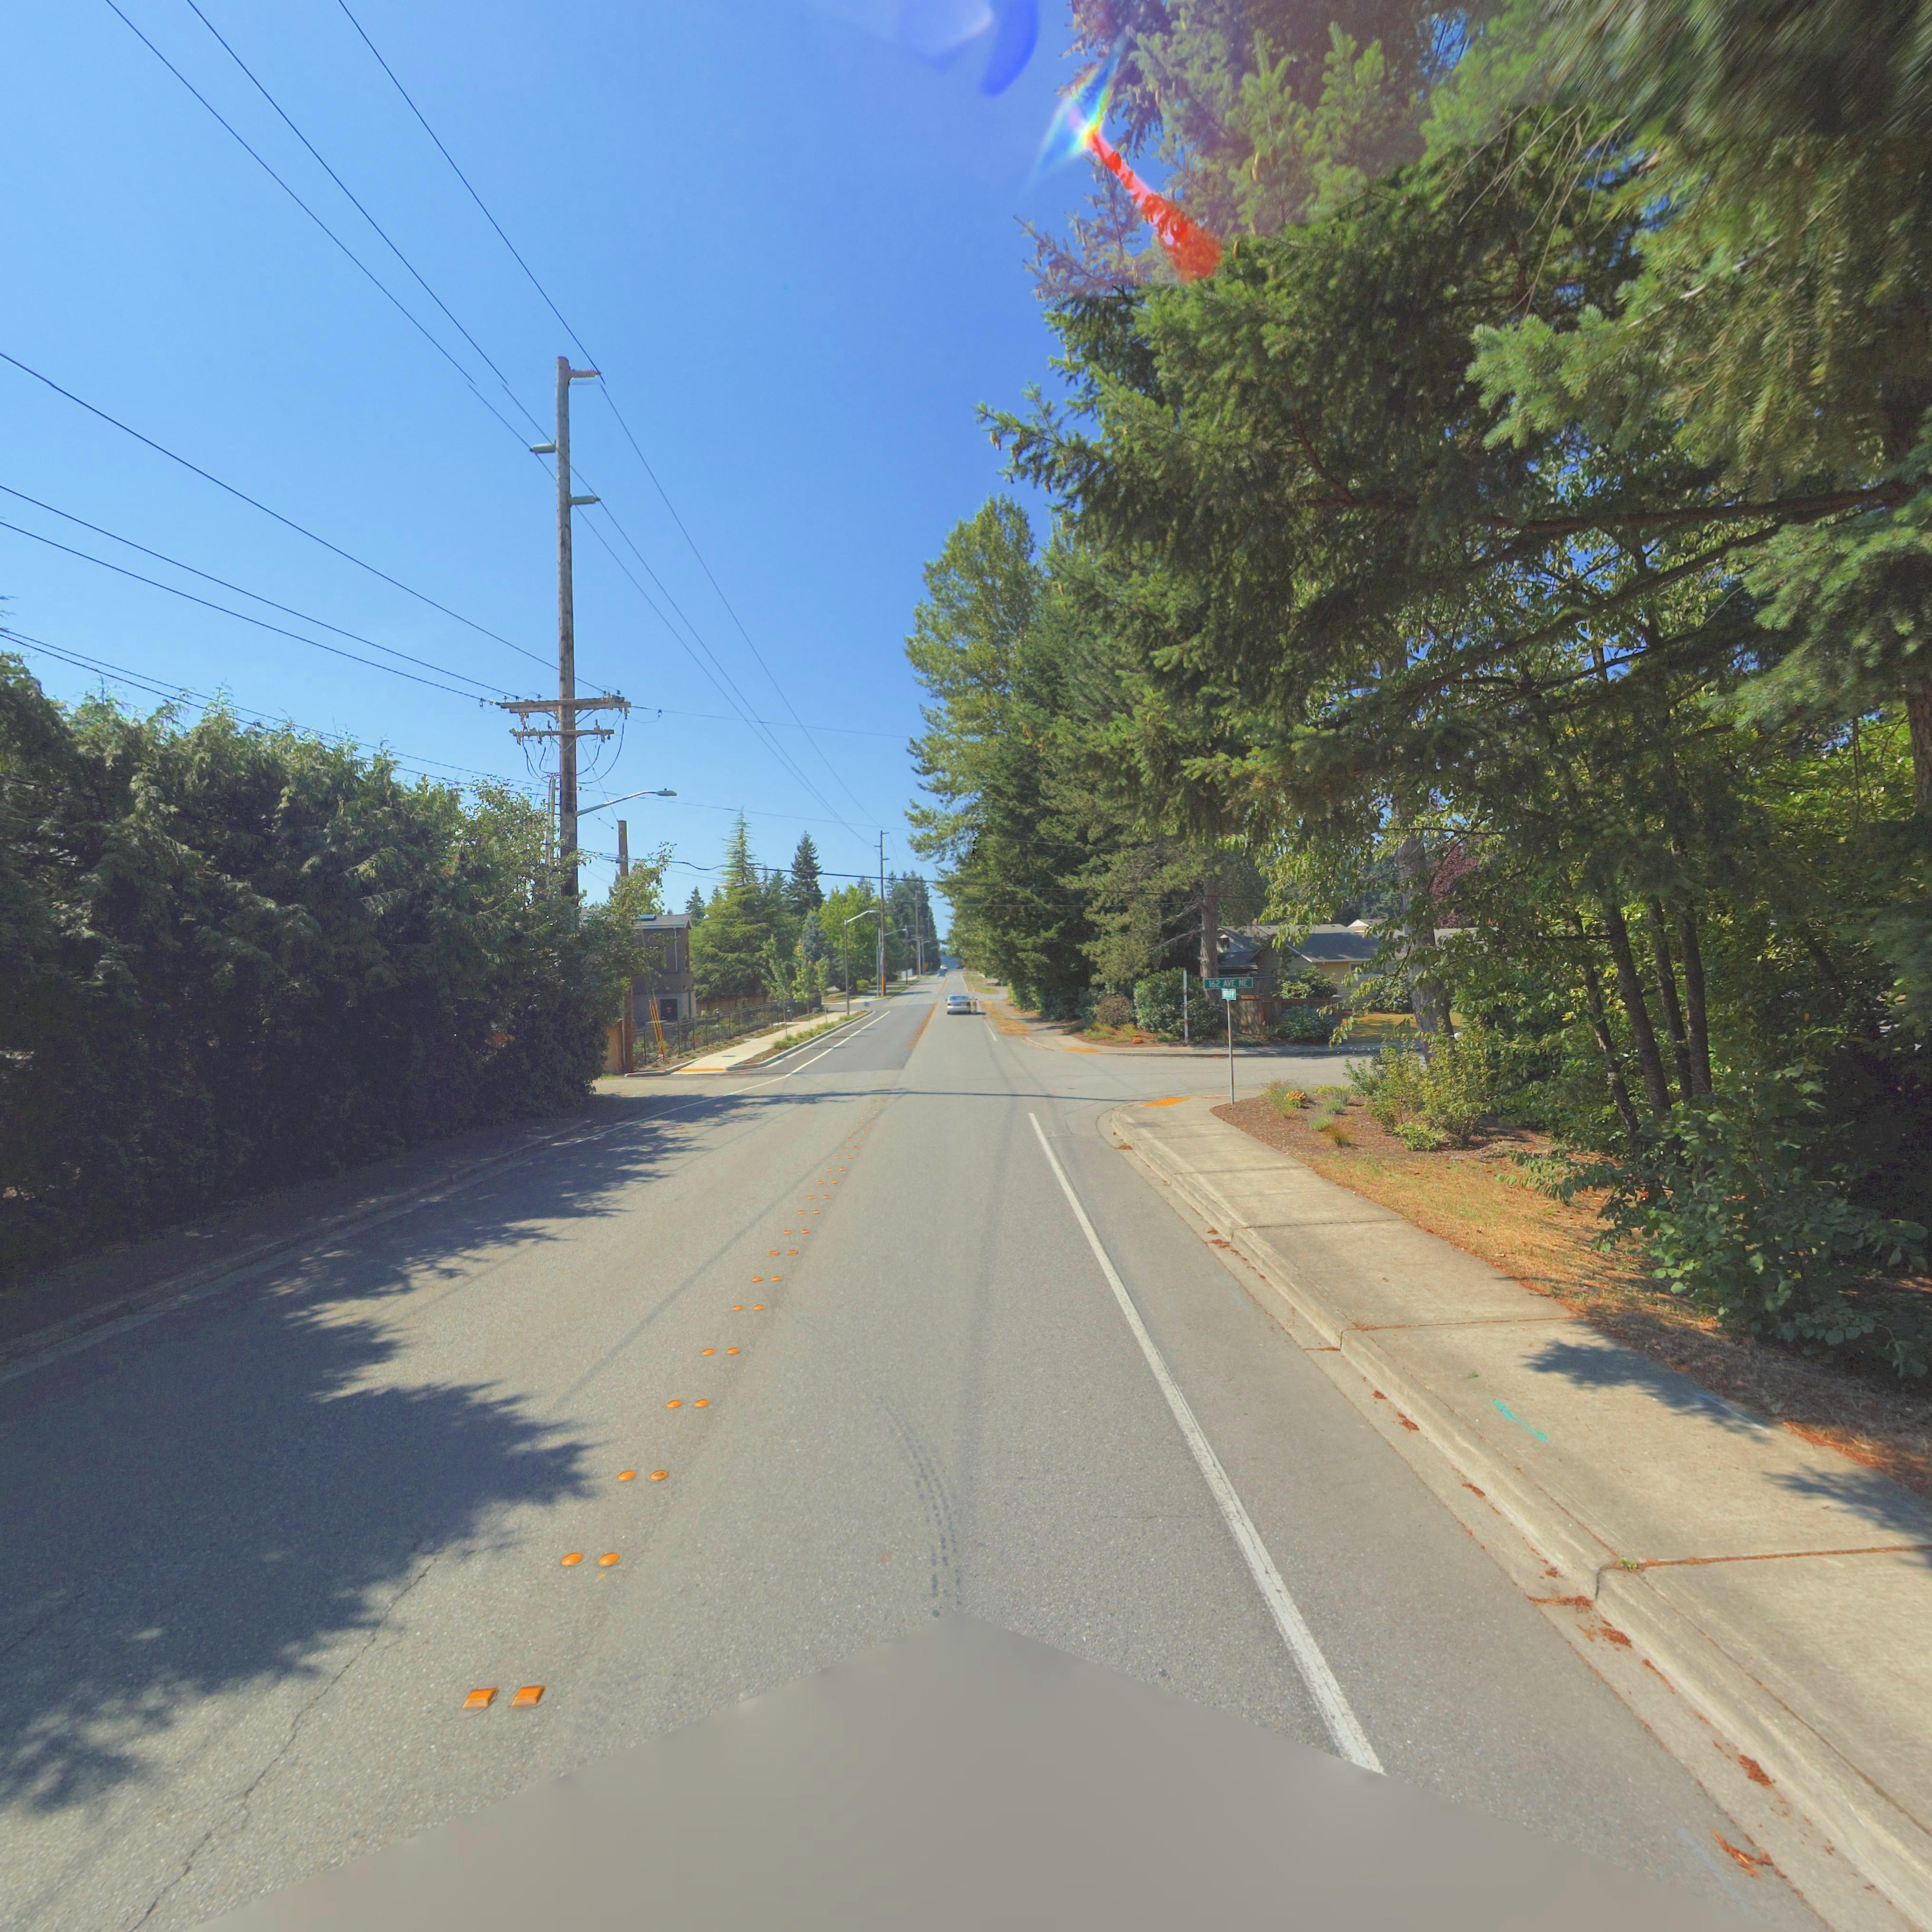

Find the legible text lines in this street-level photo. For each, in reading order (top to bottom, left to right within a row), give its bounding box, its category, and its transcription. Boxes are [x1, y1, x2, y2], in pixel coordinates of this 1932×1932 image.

[1208, 979, 1247, 987] StreetName: 162 AVE NE